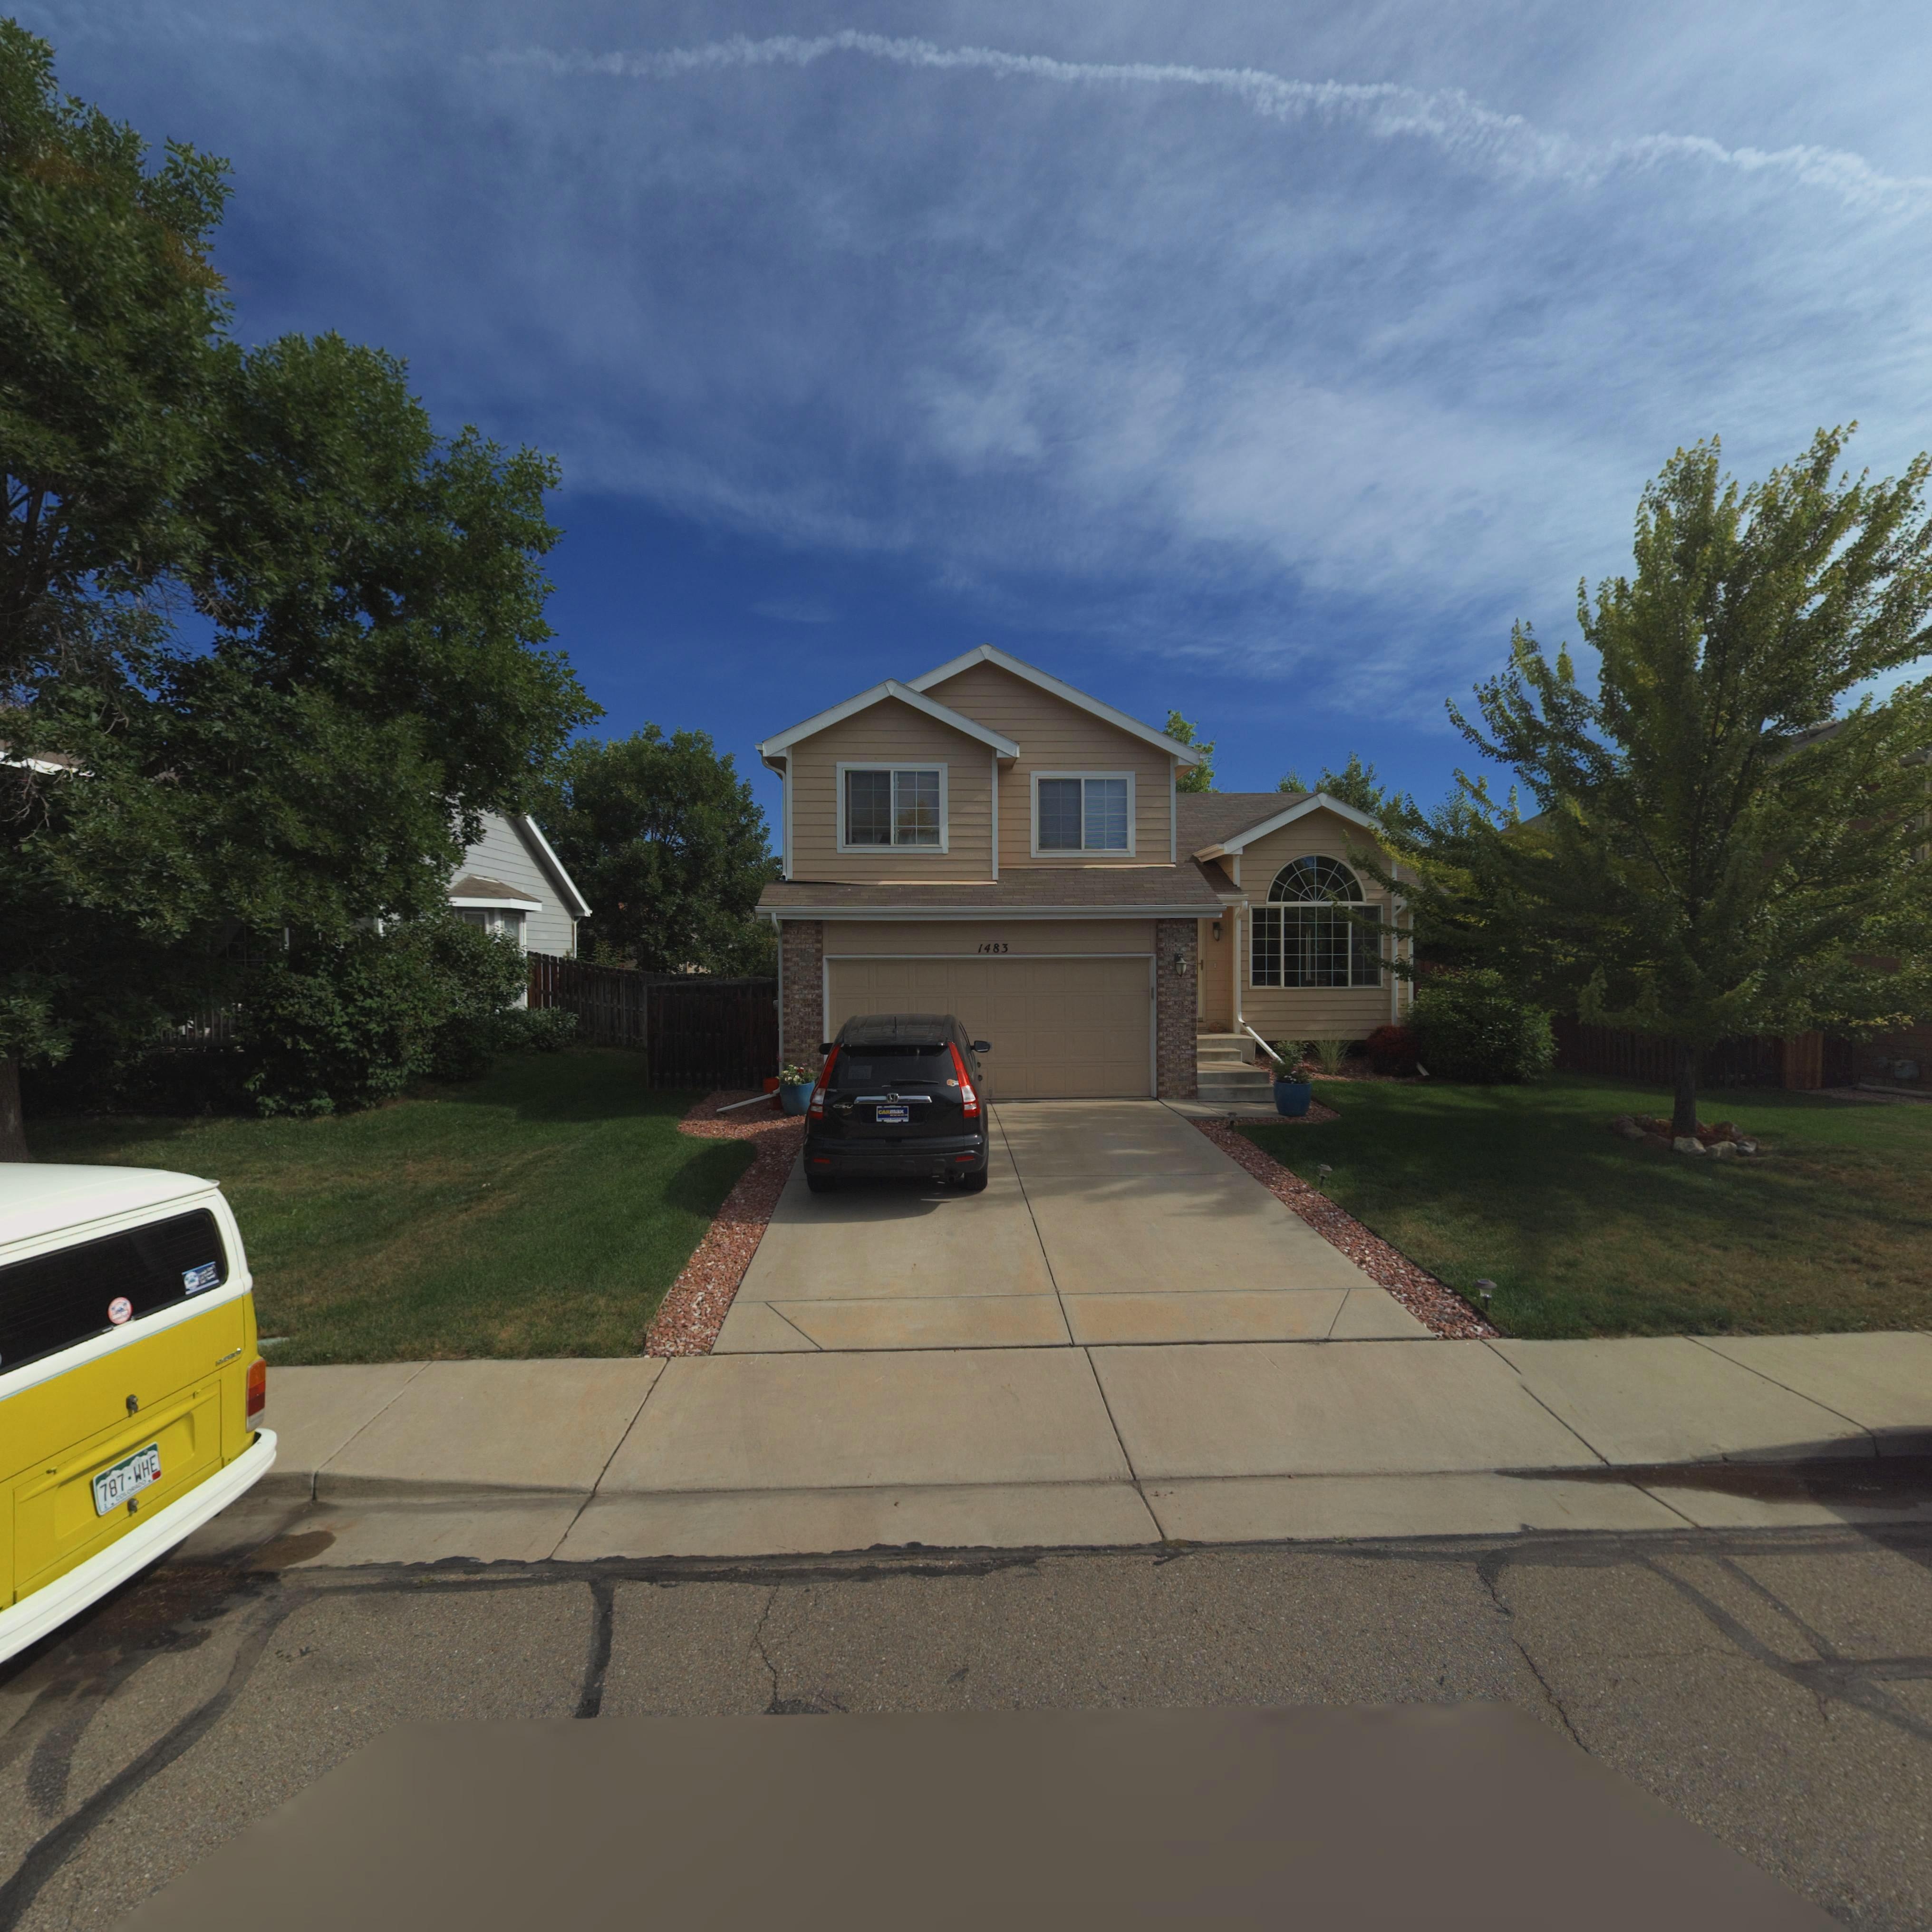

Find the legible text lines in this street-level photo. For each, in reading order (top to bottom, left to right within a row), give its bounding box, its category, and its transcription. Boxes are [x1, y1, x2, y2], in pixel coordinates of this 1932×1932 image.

[976, 943, 1008, 953] StreetNumber: 1483